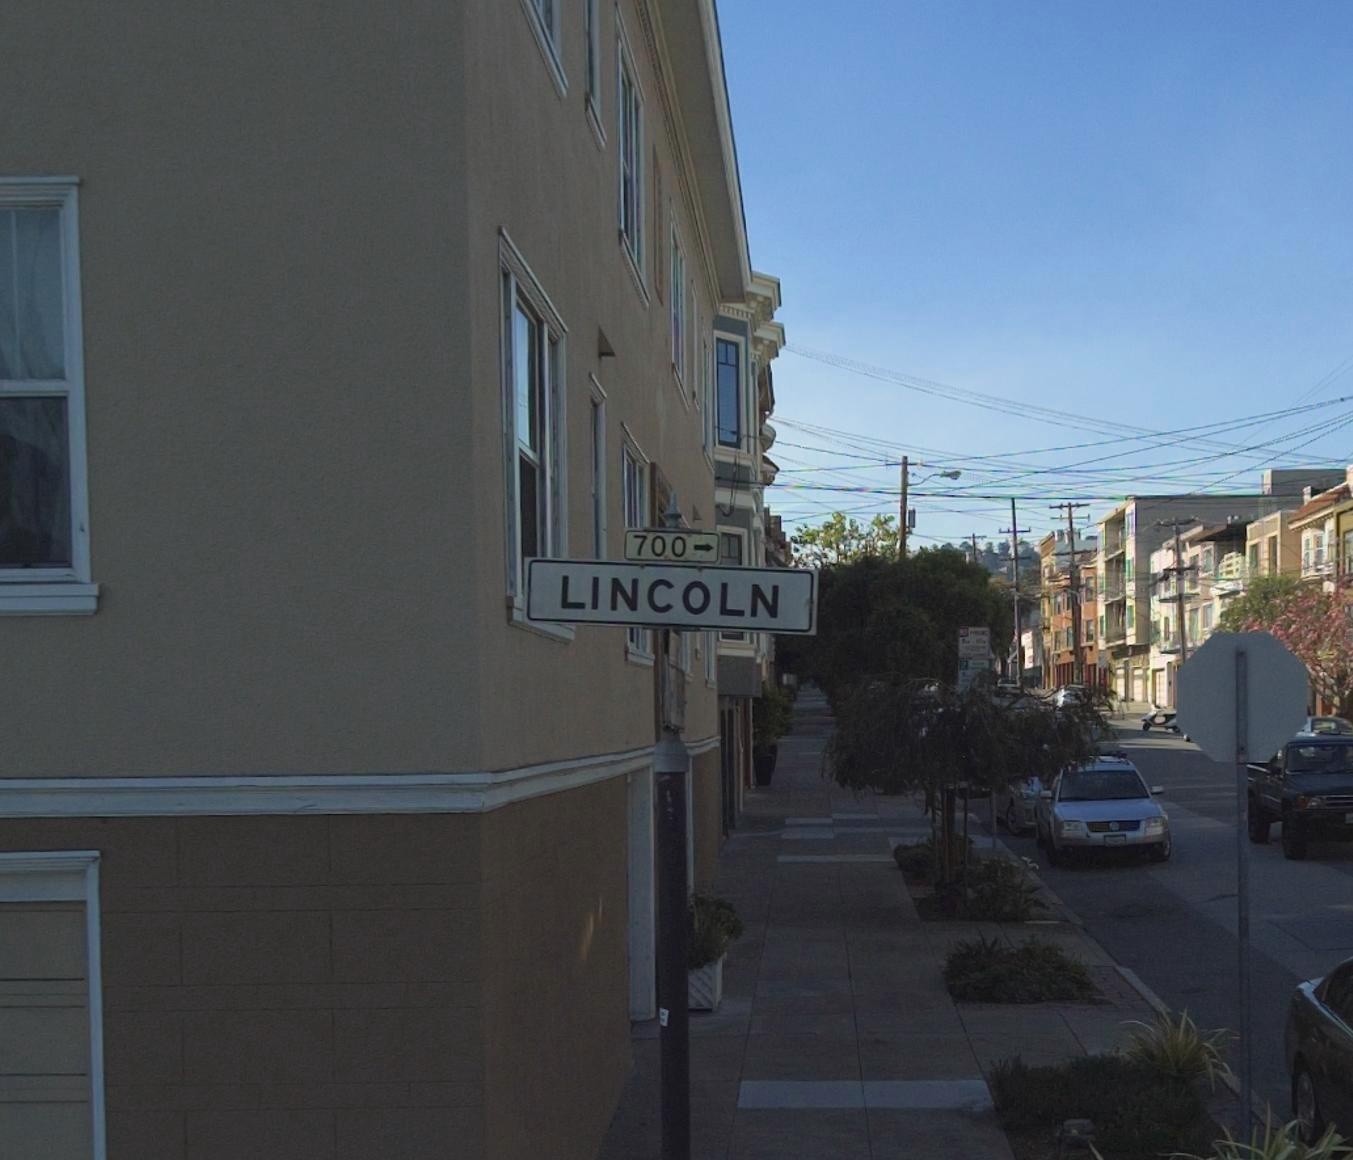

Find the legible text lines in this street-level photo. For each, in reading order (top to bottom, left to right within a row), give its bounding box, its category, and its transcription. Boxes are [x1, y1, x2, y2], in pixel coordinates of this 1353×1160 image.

[631, 532, 715, 561] StreetNumberRange: 700->
[558, 572, 781, 621] StreetName: LINCOLN